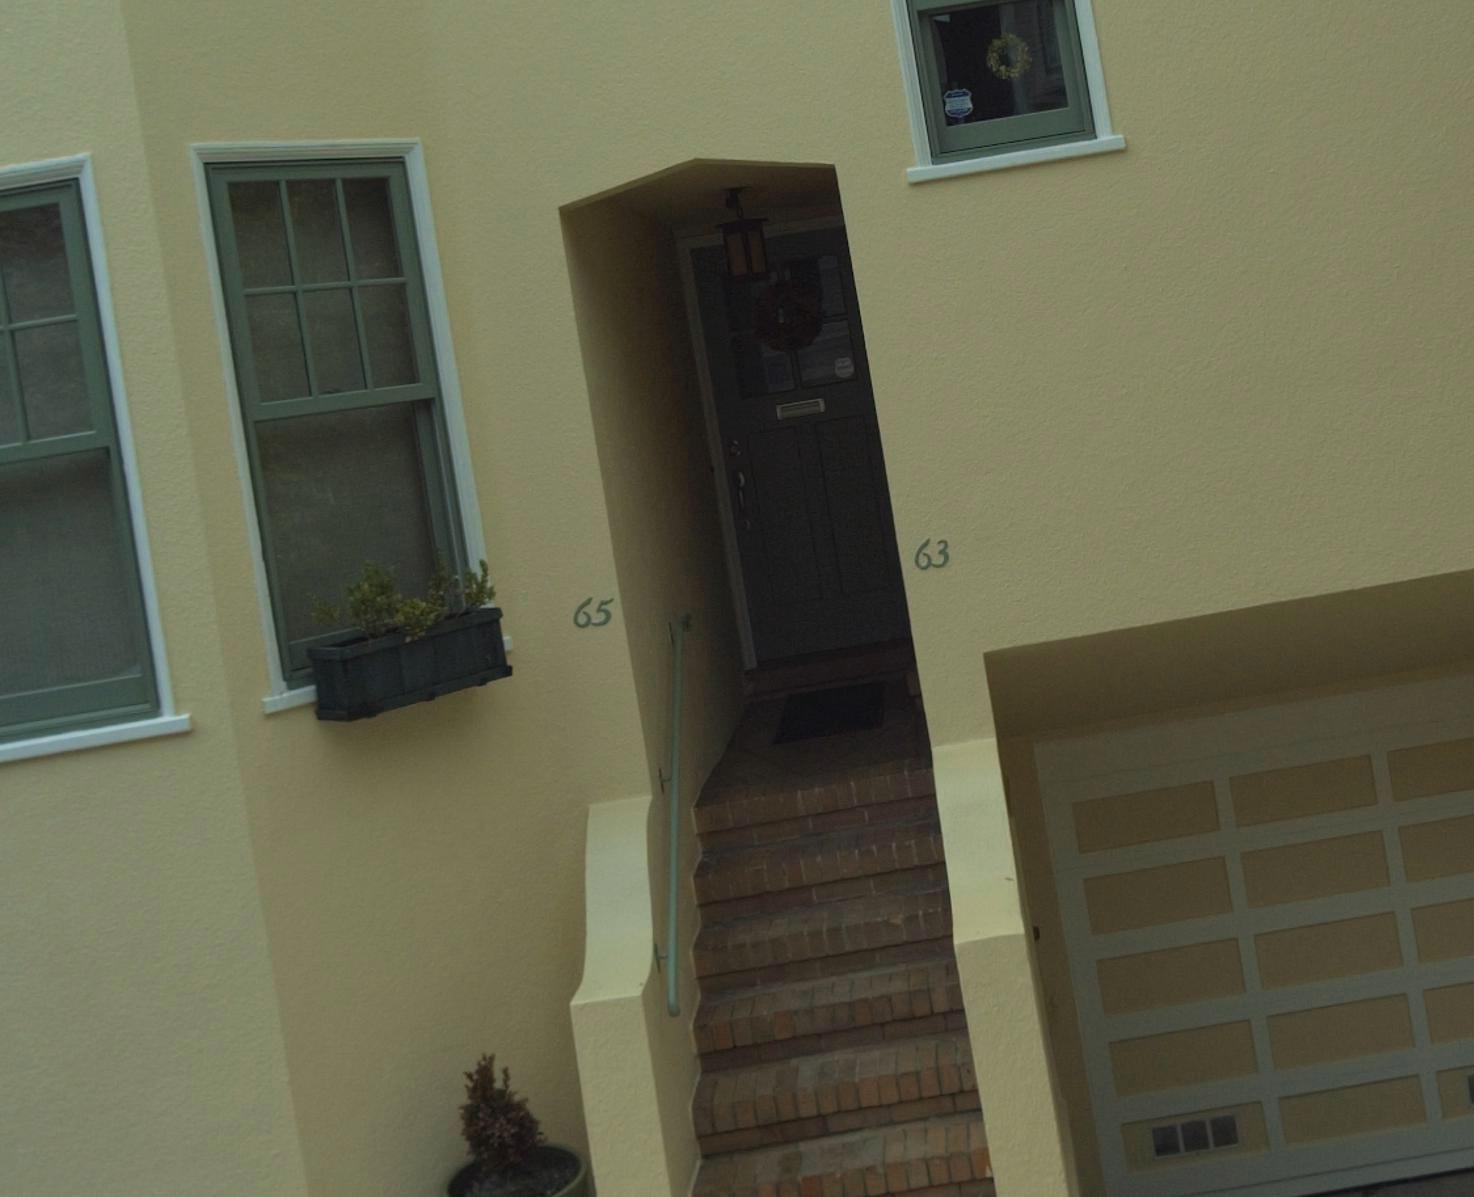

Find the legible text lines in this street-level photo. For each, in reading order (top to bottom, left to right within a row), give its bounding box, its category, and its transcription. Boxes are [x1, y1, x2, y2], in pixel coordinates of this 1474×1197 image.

[910, 534, 952, 575] StreetNumber: 63
[571, 593, 619, 632] StreetNumber: 65